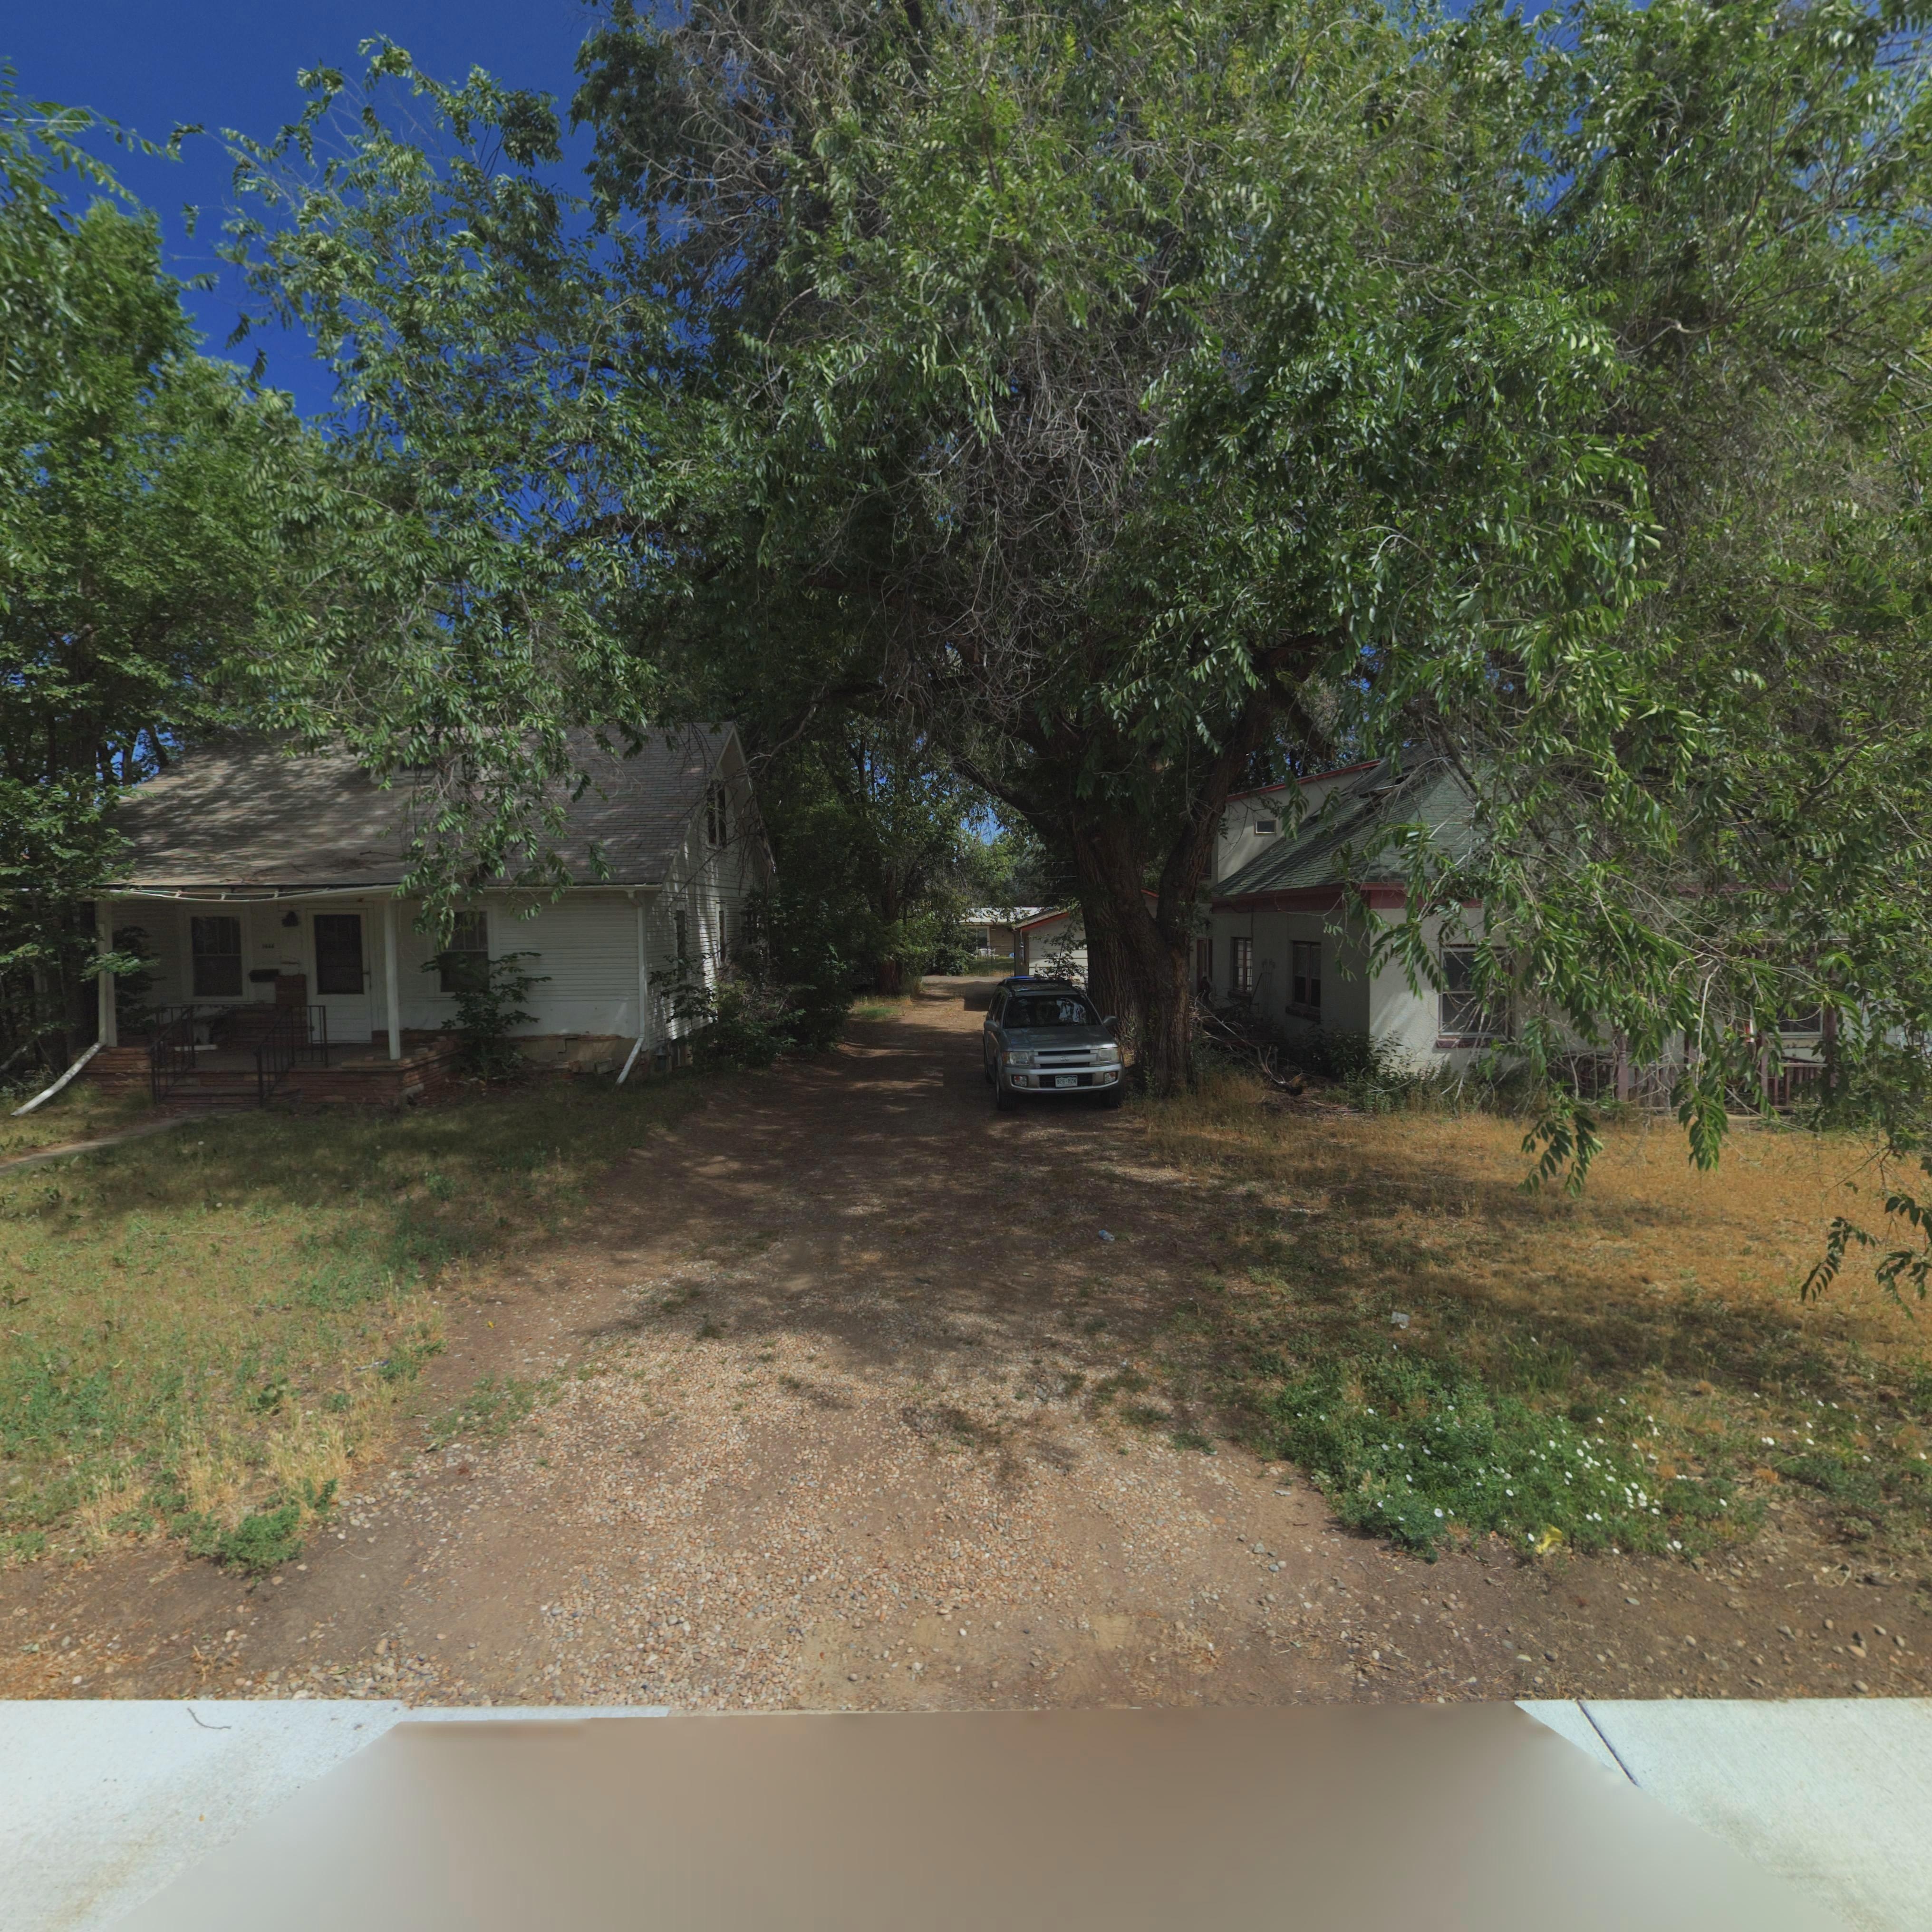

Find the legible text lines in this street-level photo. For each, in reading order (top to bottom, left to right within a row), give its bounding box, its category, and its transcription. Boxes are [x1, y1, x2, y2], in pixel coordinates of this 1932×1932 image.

[261, 943, 275, 949] StreetNumber: 1444